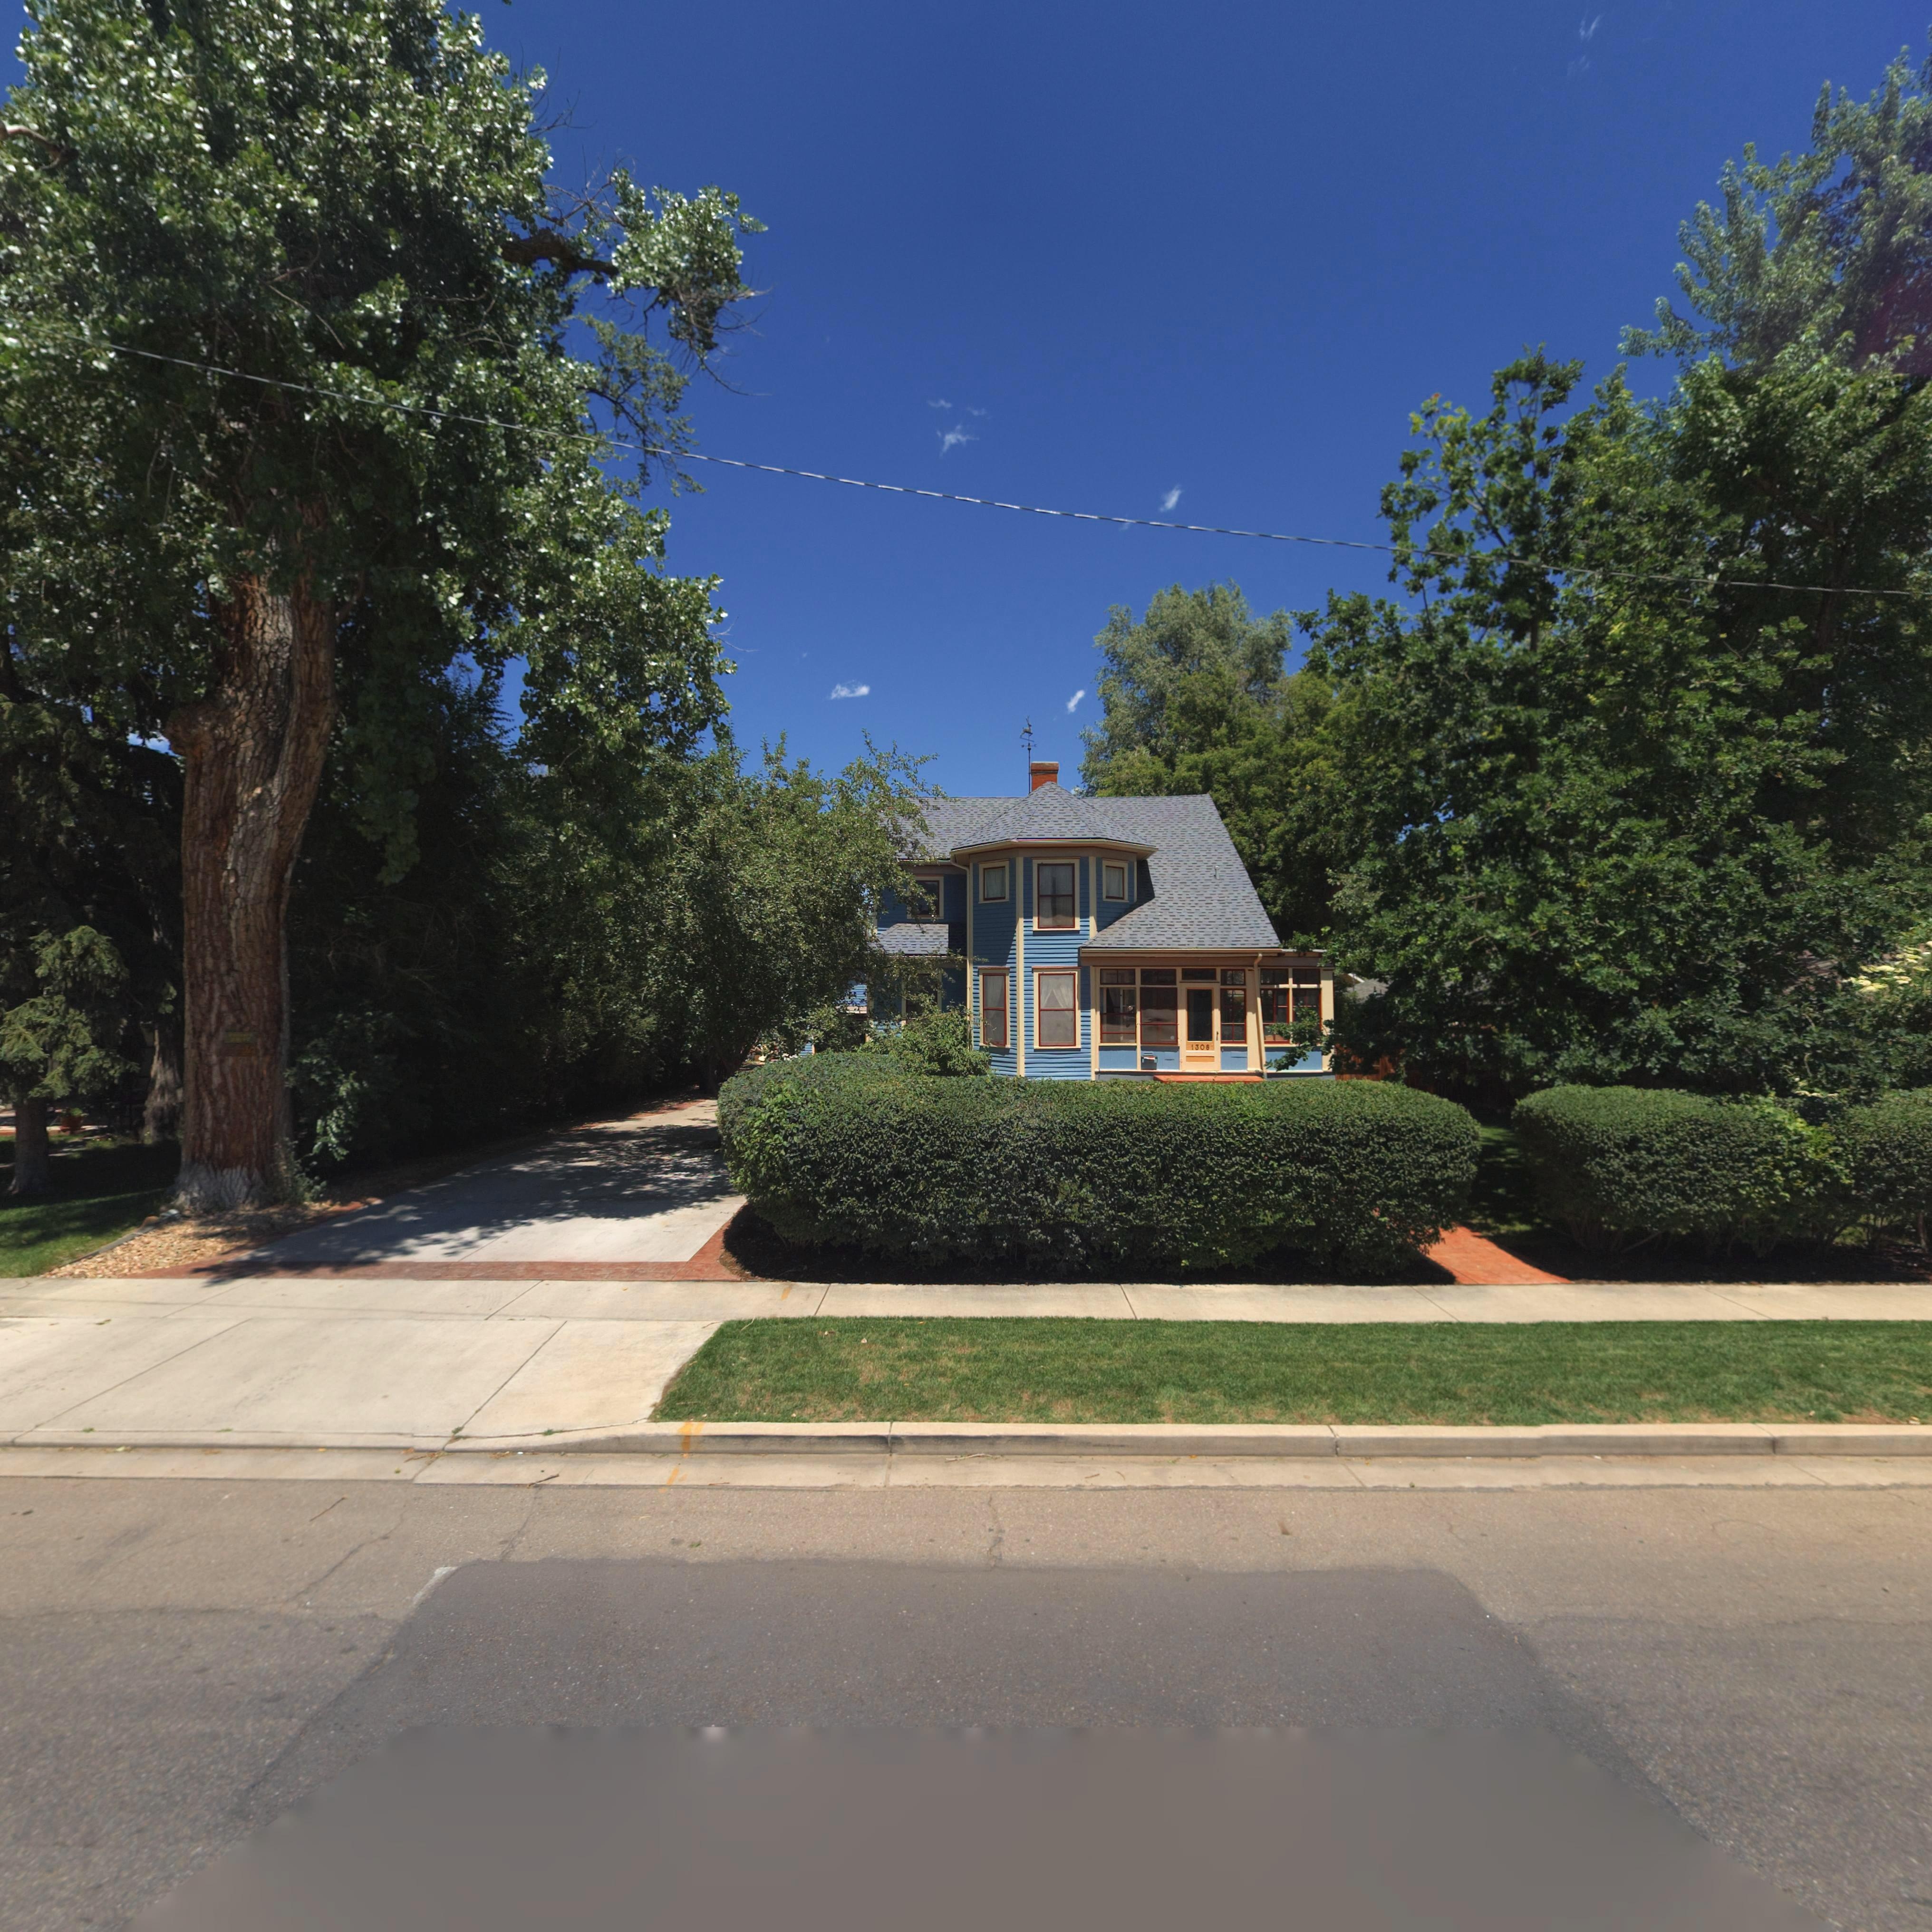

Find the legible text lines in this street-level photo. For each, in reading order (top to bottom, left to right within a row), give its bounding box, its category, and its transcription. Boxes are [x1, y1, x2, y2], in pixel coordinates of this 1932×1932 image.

[1191, 1044, 1209, 1050] StreetNumber: 1308